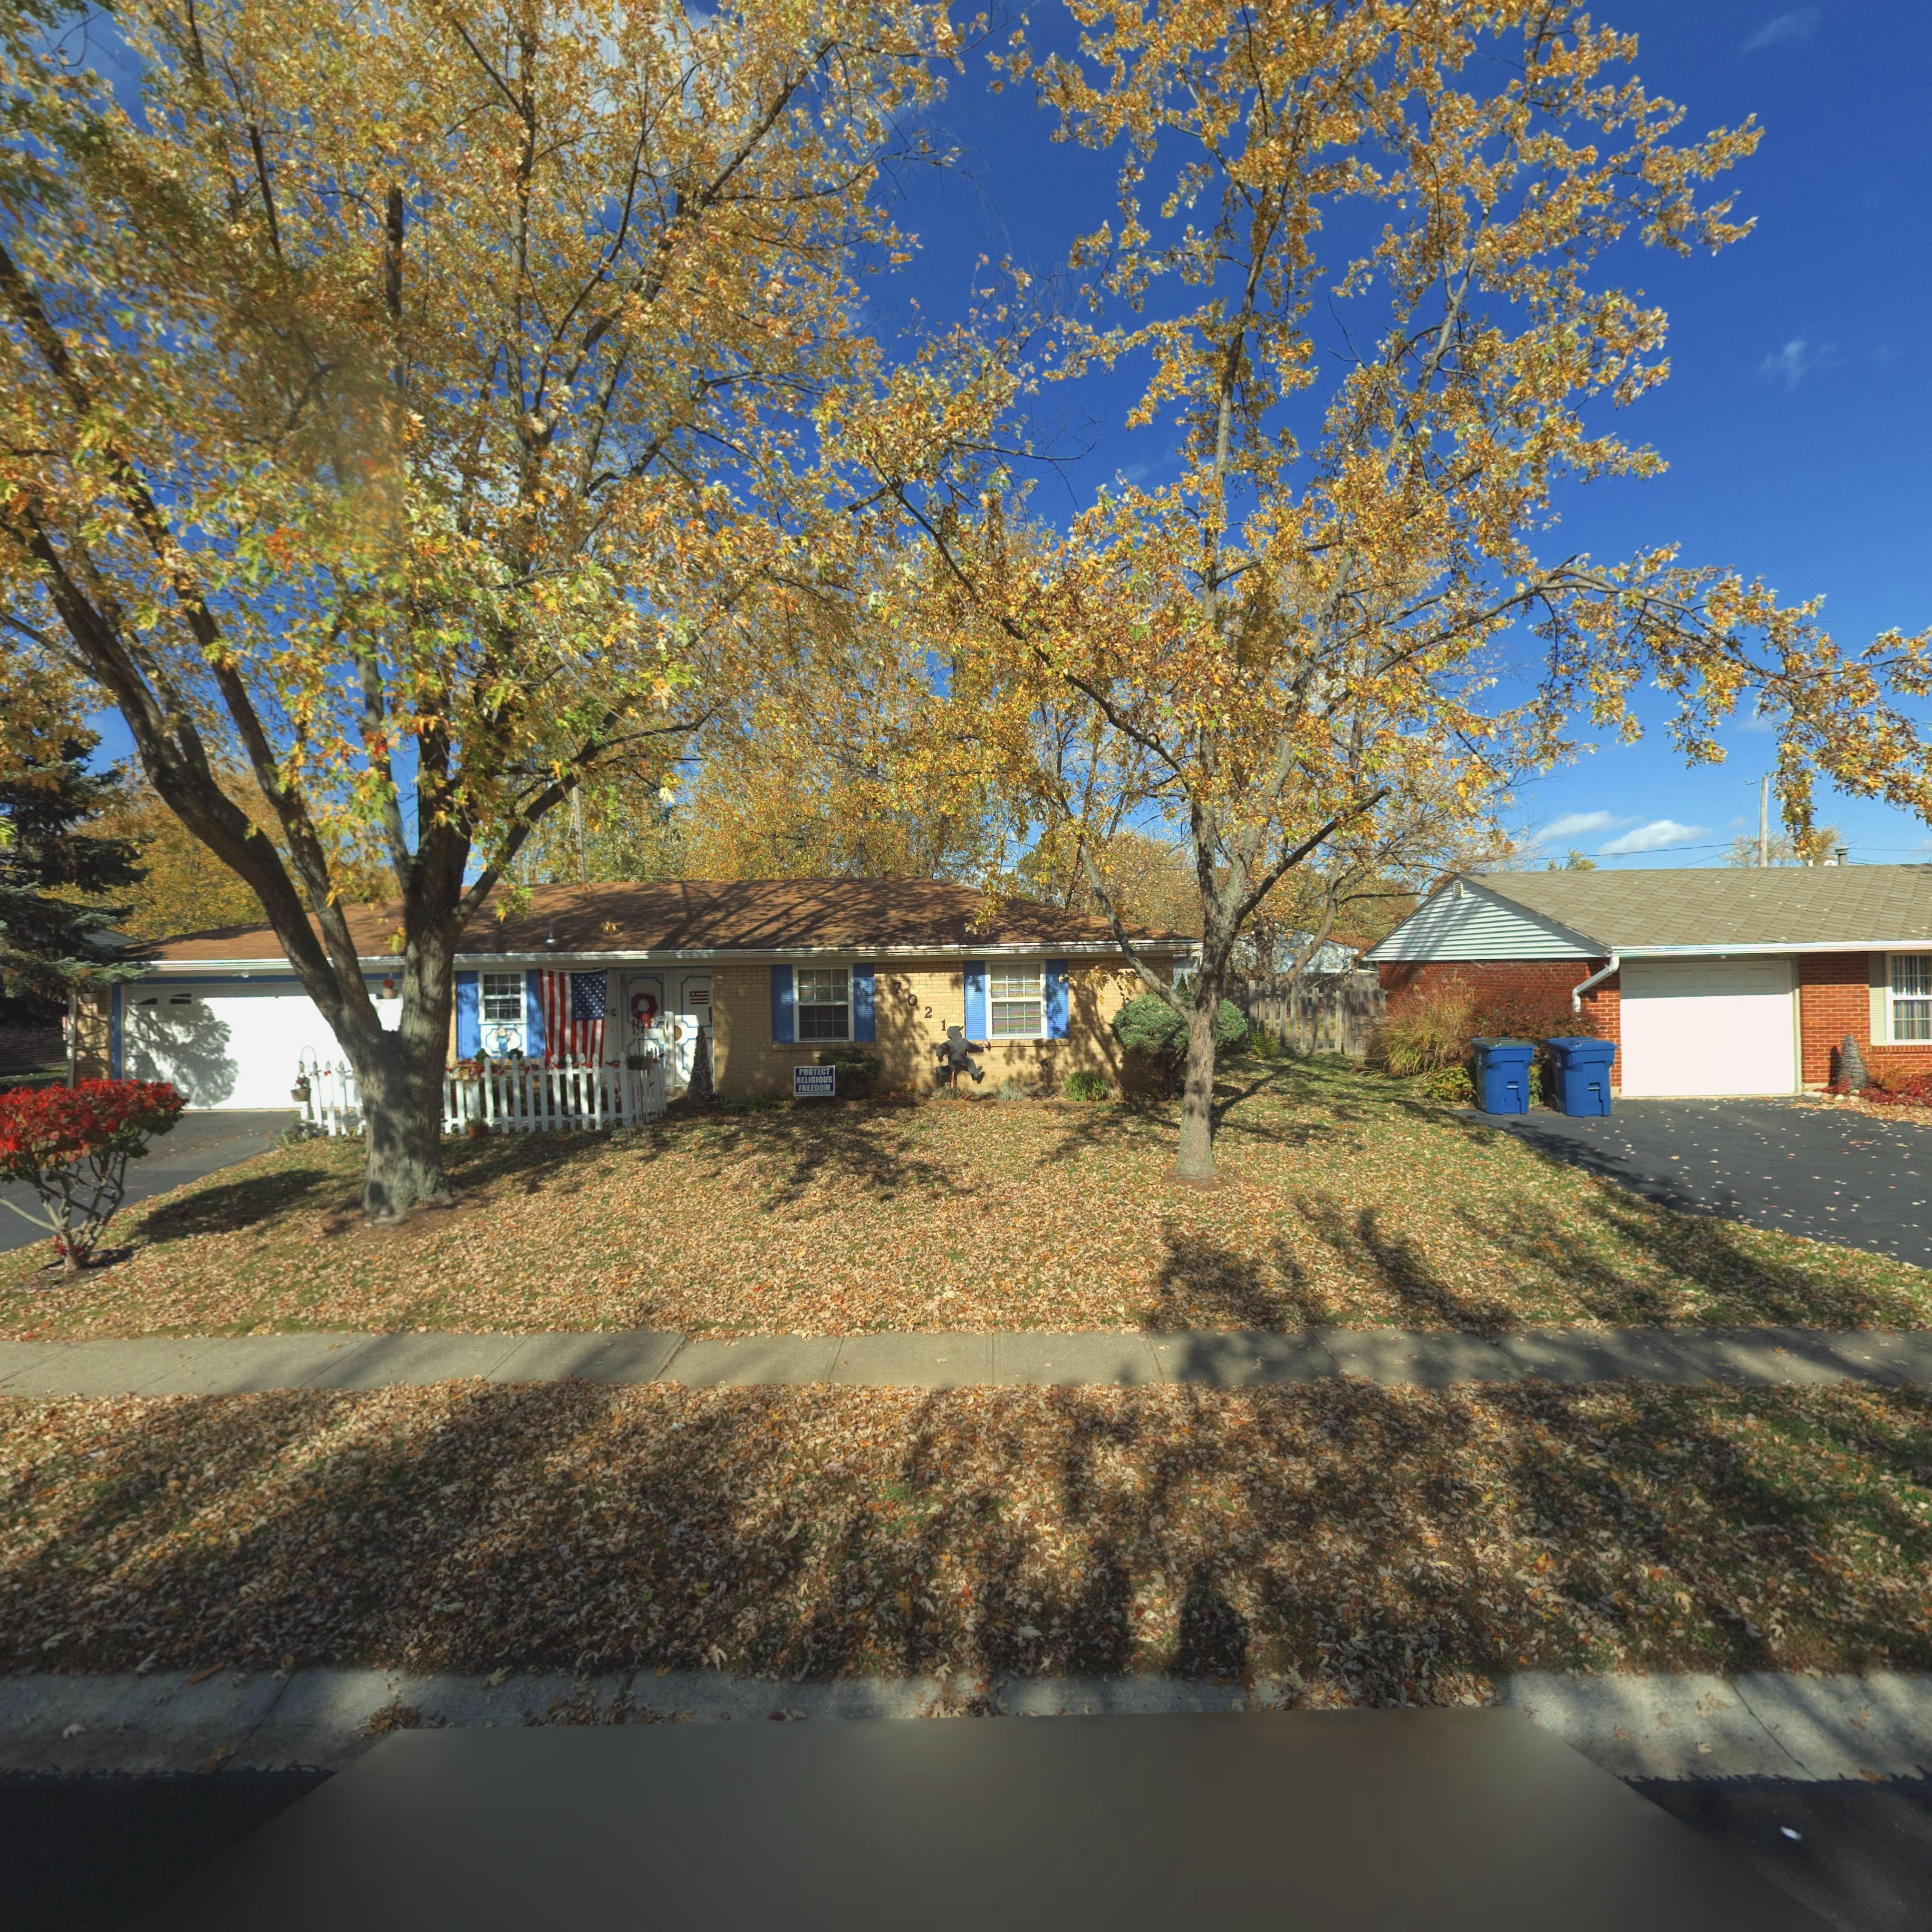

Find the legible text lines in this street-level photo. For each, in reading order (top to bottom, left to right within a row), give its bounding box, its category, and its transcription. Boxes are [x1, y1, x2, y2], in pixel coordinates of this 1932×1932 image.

[893, 981, 947, 1033] StreetNumber: 7021